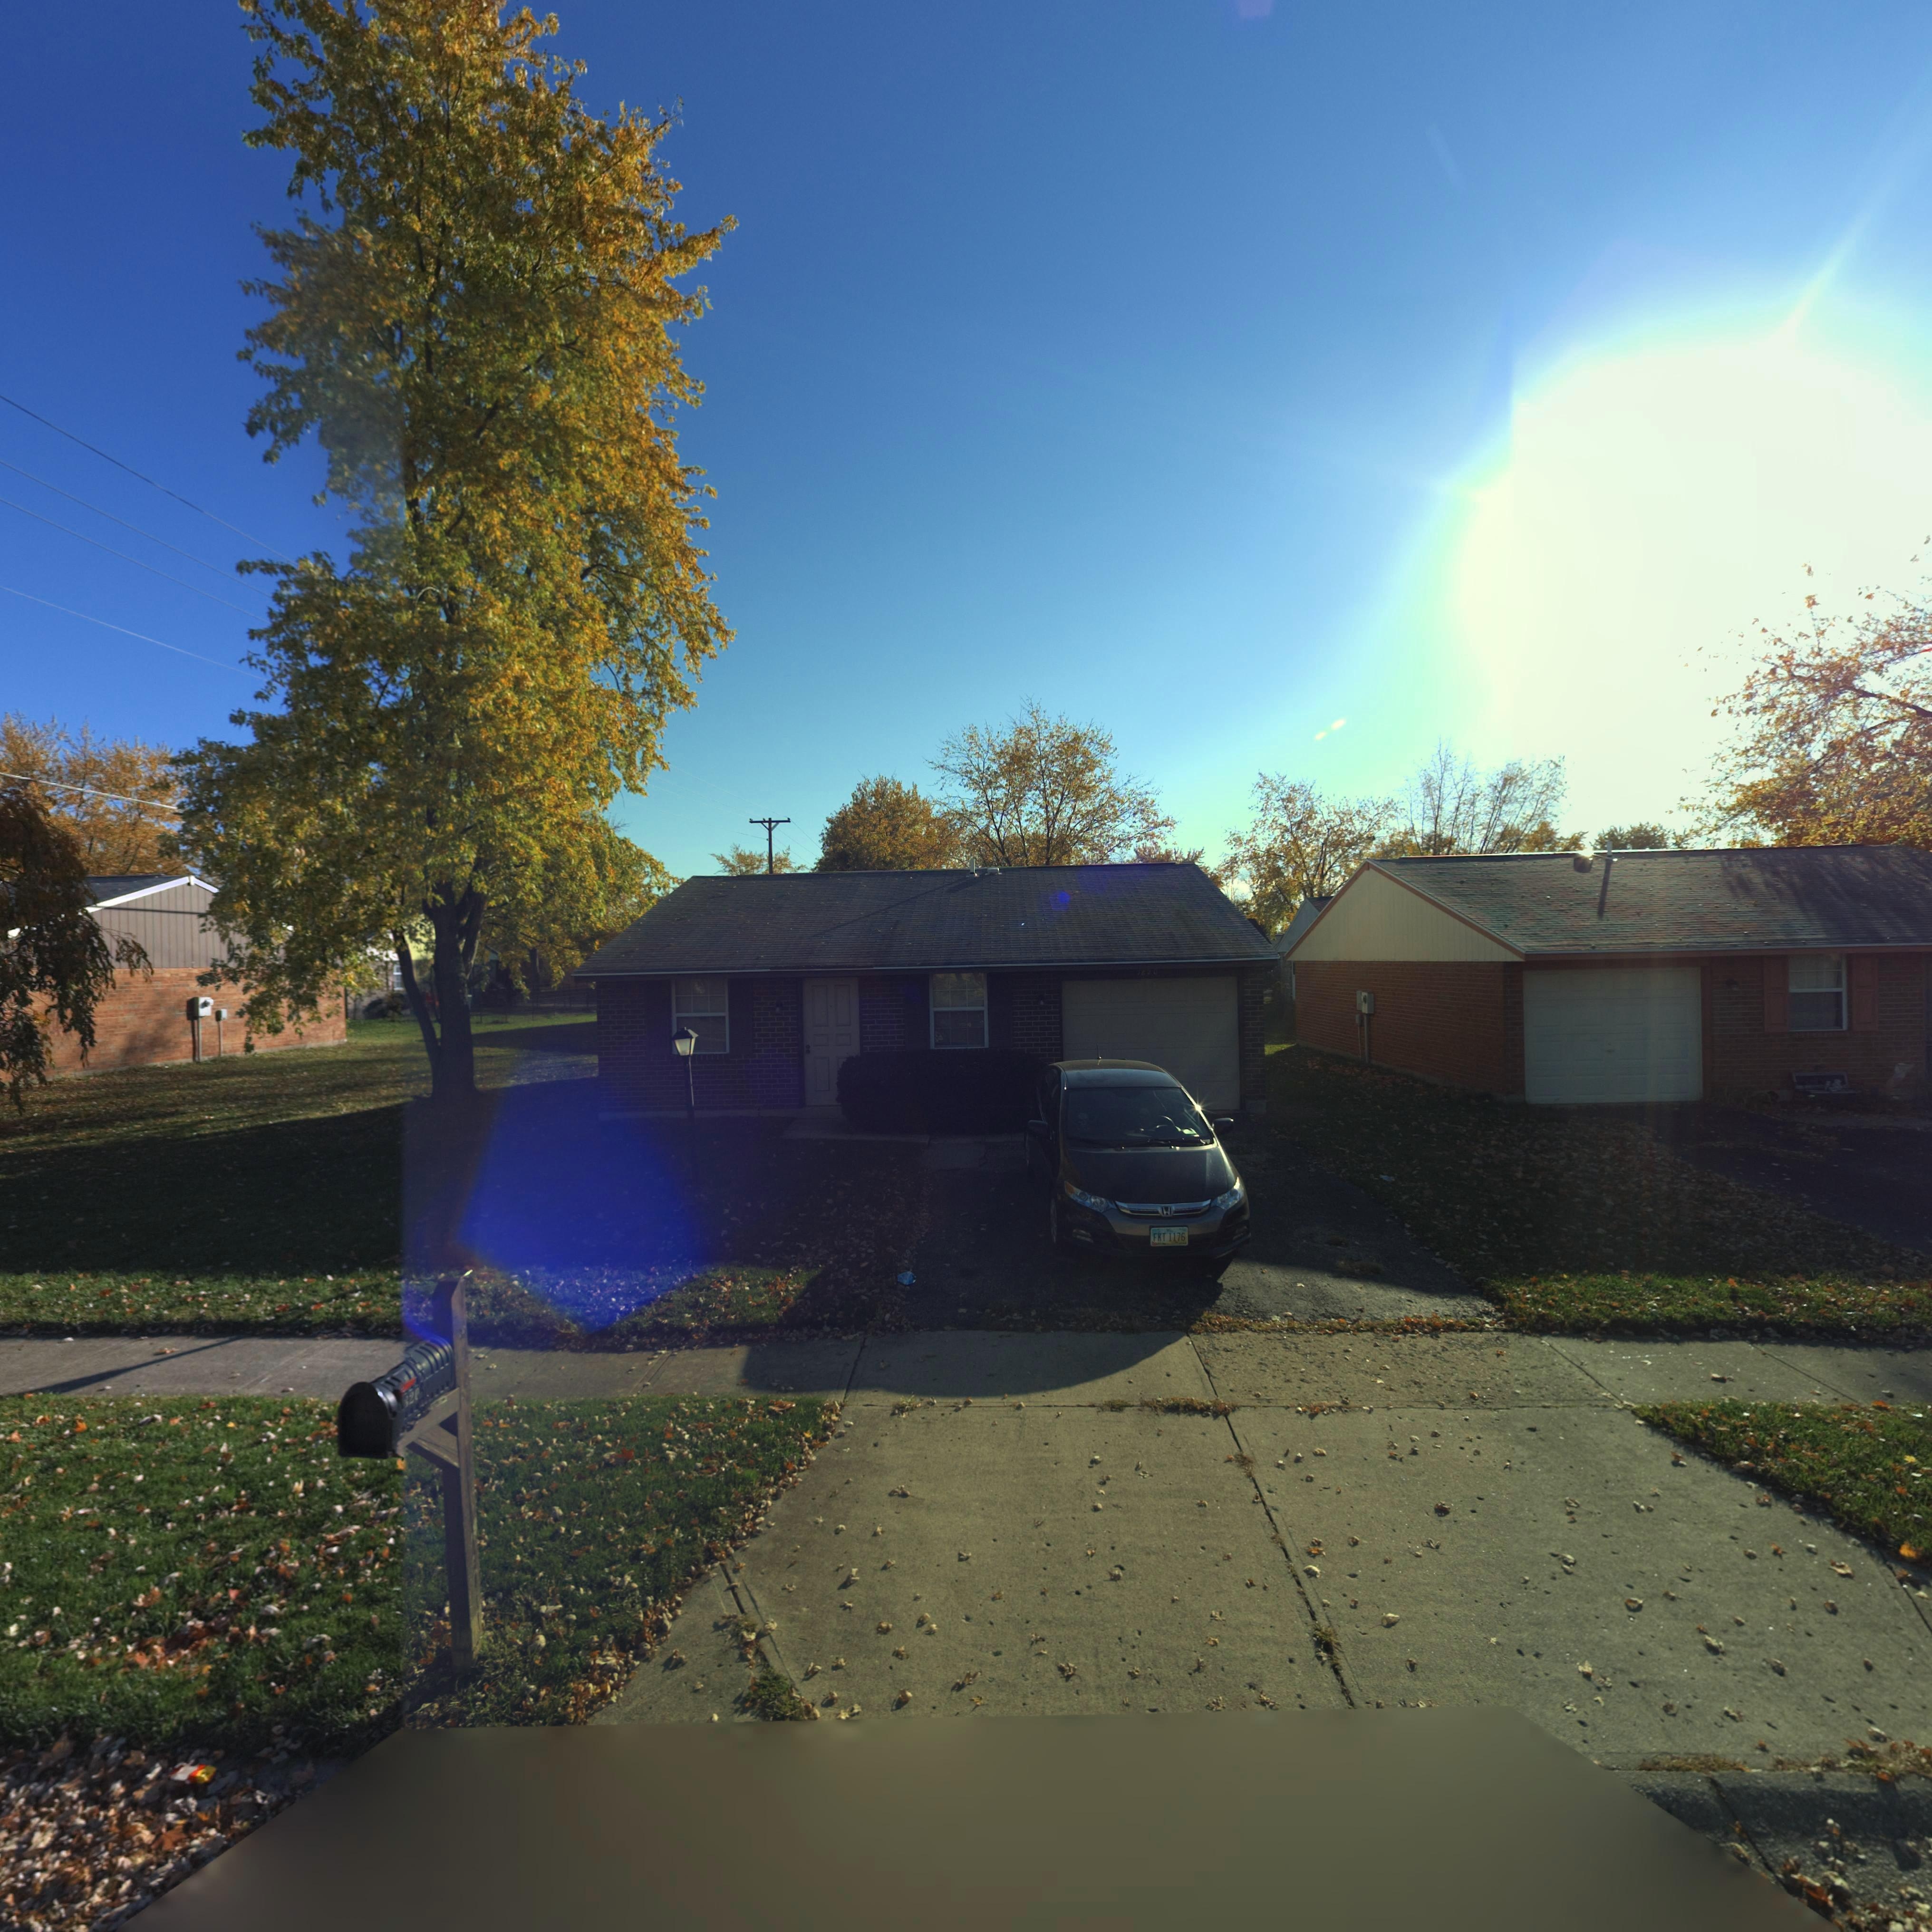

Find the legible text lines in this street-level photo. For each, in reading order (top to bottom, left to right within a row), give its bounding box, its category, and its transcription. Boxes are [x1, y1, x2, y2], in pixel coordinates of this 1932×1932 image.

[1135, 968, 1159, 977] StreetNumber: 7*20
[1150, 1231, 1187, 1243] None: FKT 1176
[403, 1385, 422, 1410] StreetNumber: *2*